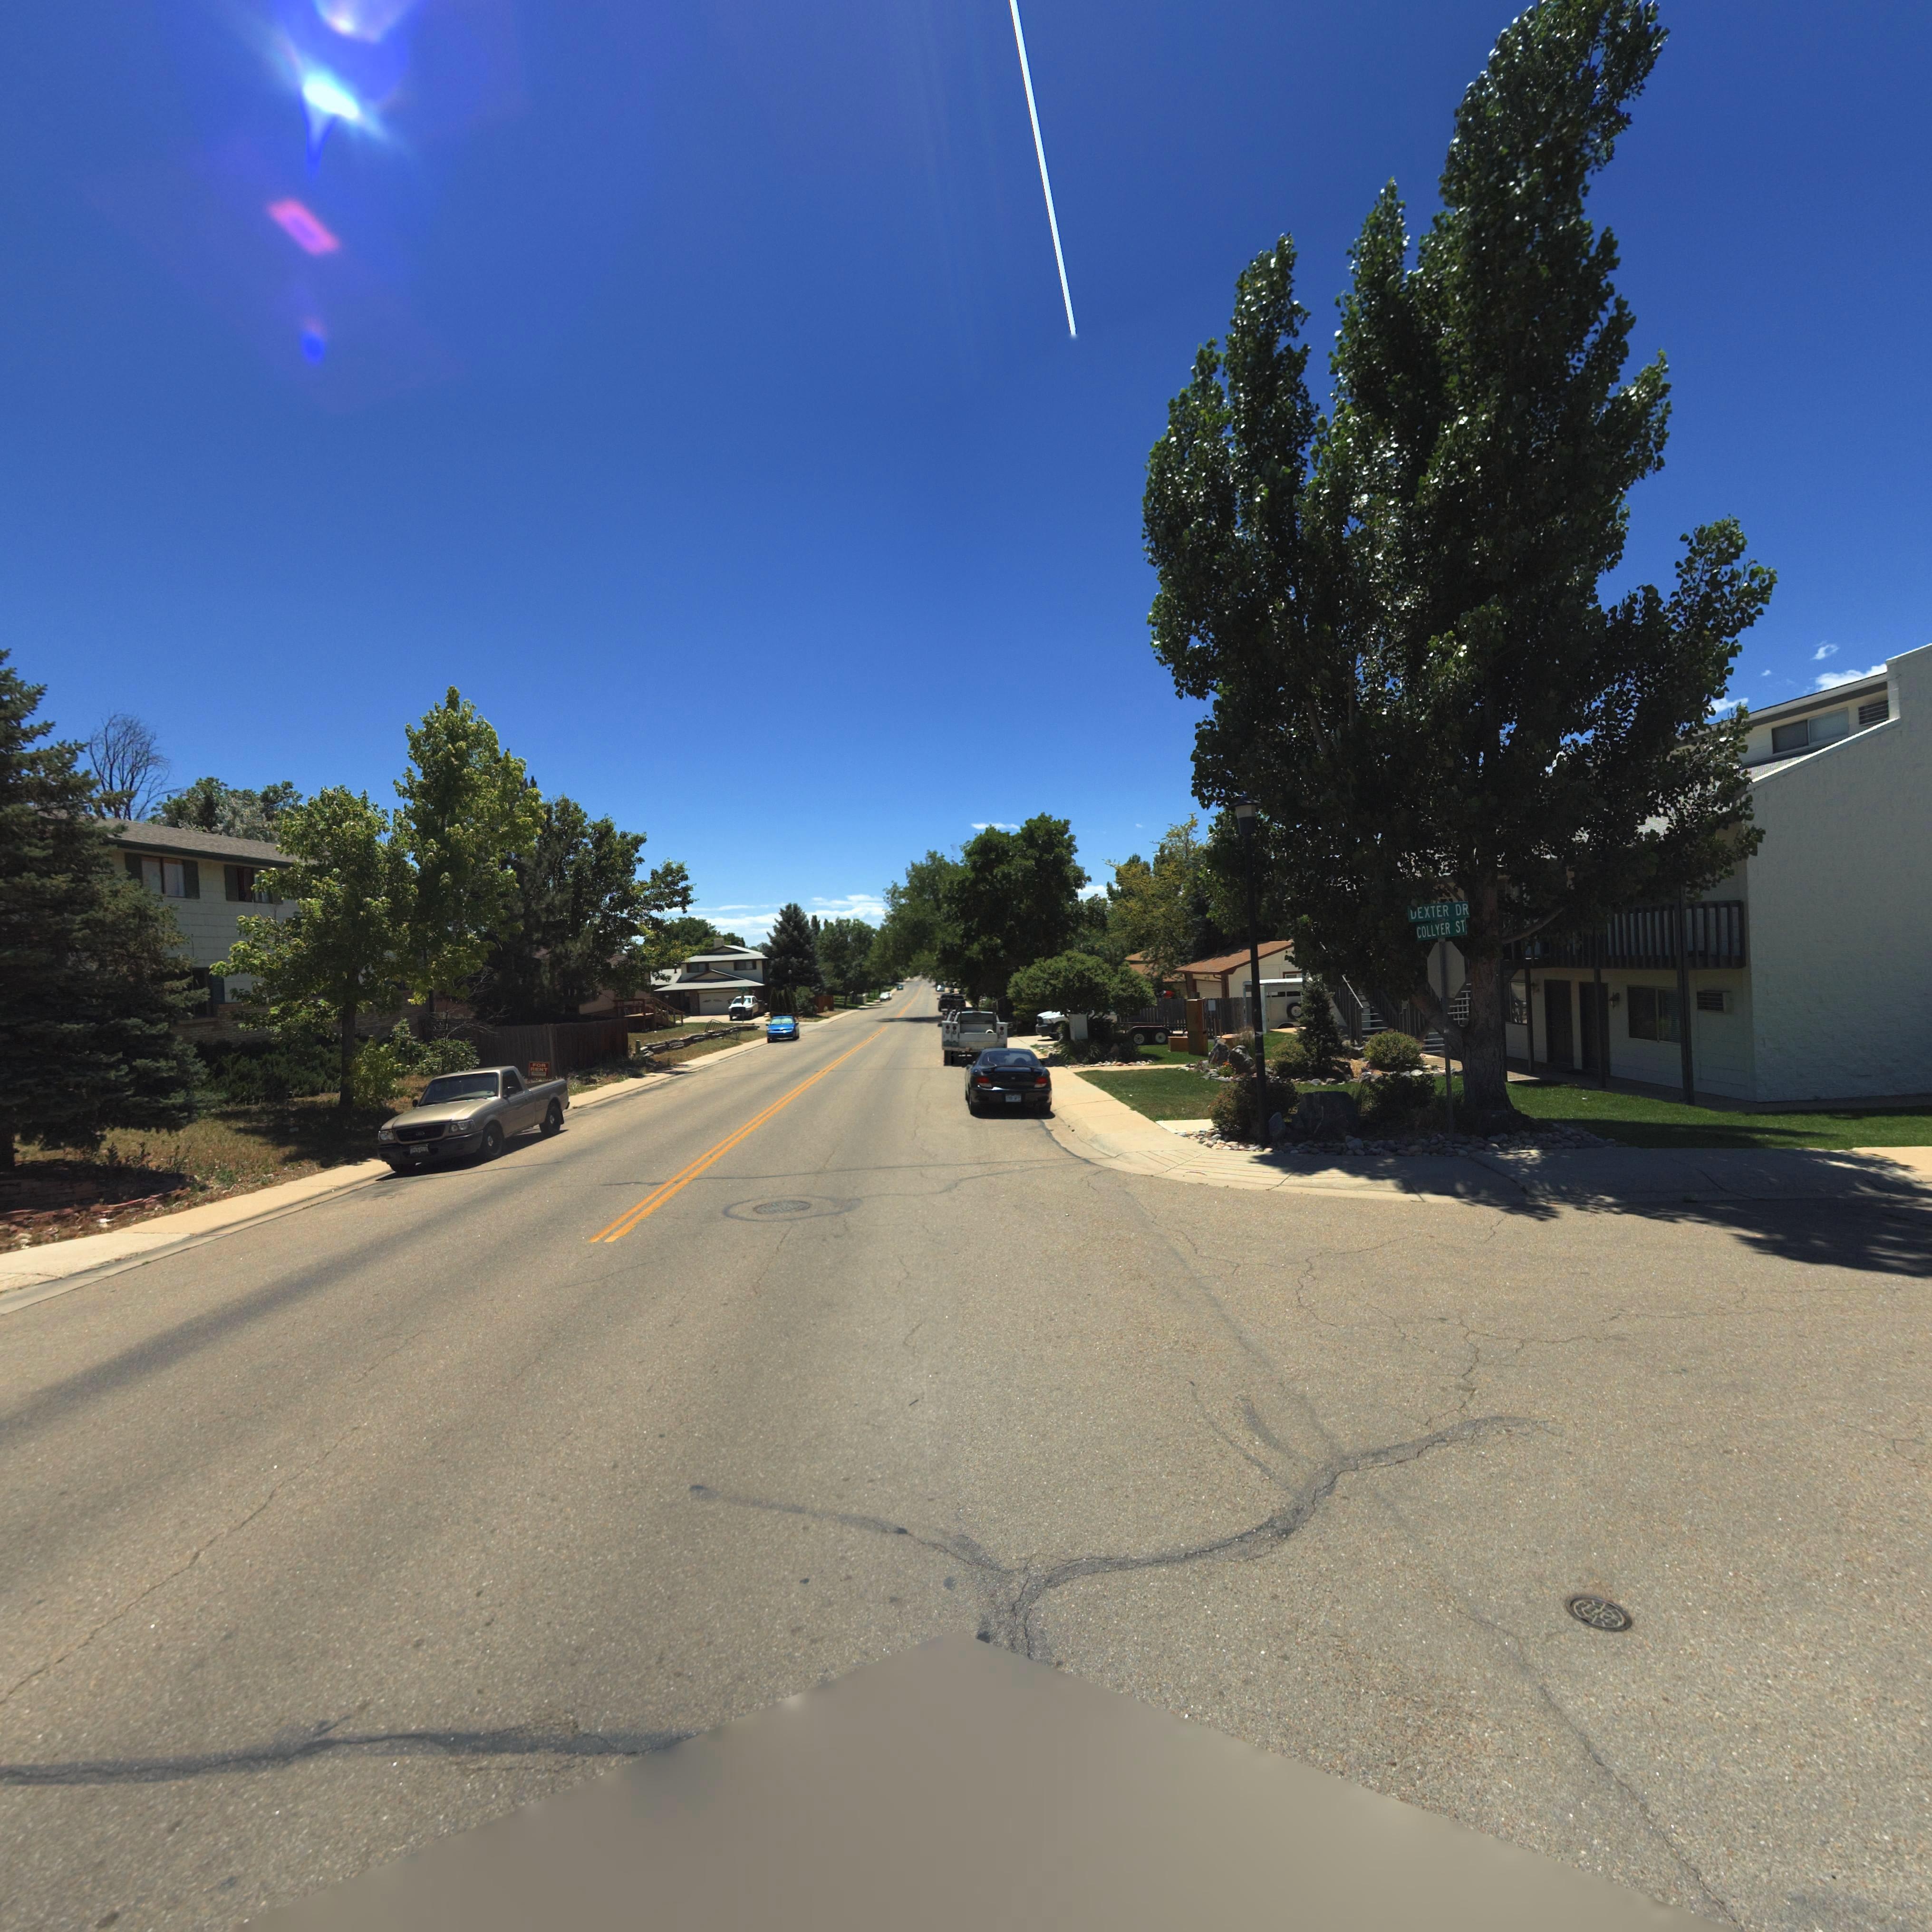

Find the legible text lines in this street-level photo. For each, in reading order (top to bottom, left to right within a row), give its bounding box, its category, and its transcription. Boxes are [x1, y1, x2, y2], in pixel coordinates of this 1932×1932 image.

[1409, 902, 1470, 919] StreetName: DEXTER DR
[1416, 919, 1465, 938] BusinessName: COLLYER ST